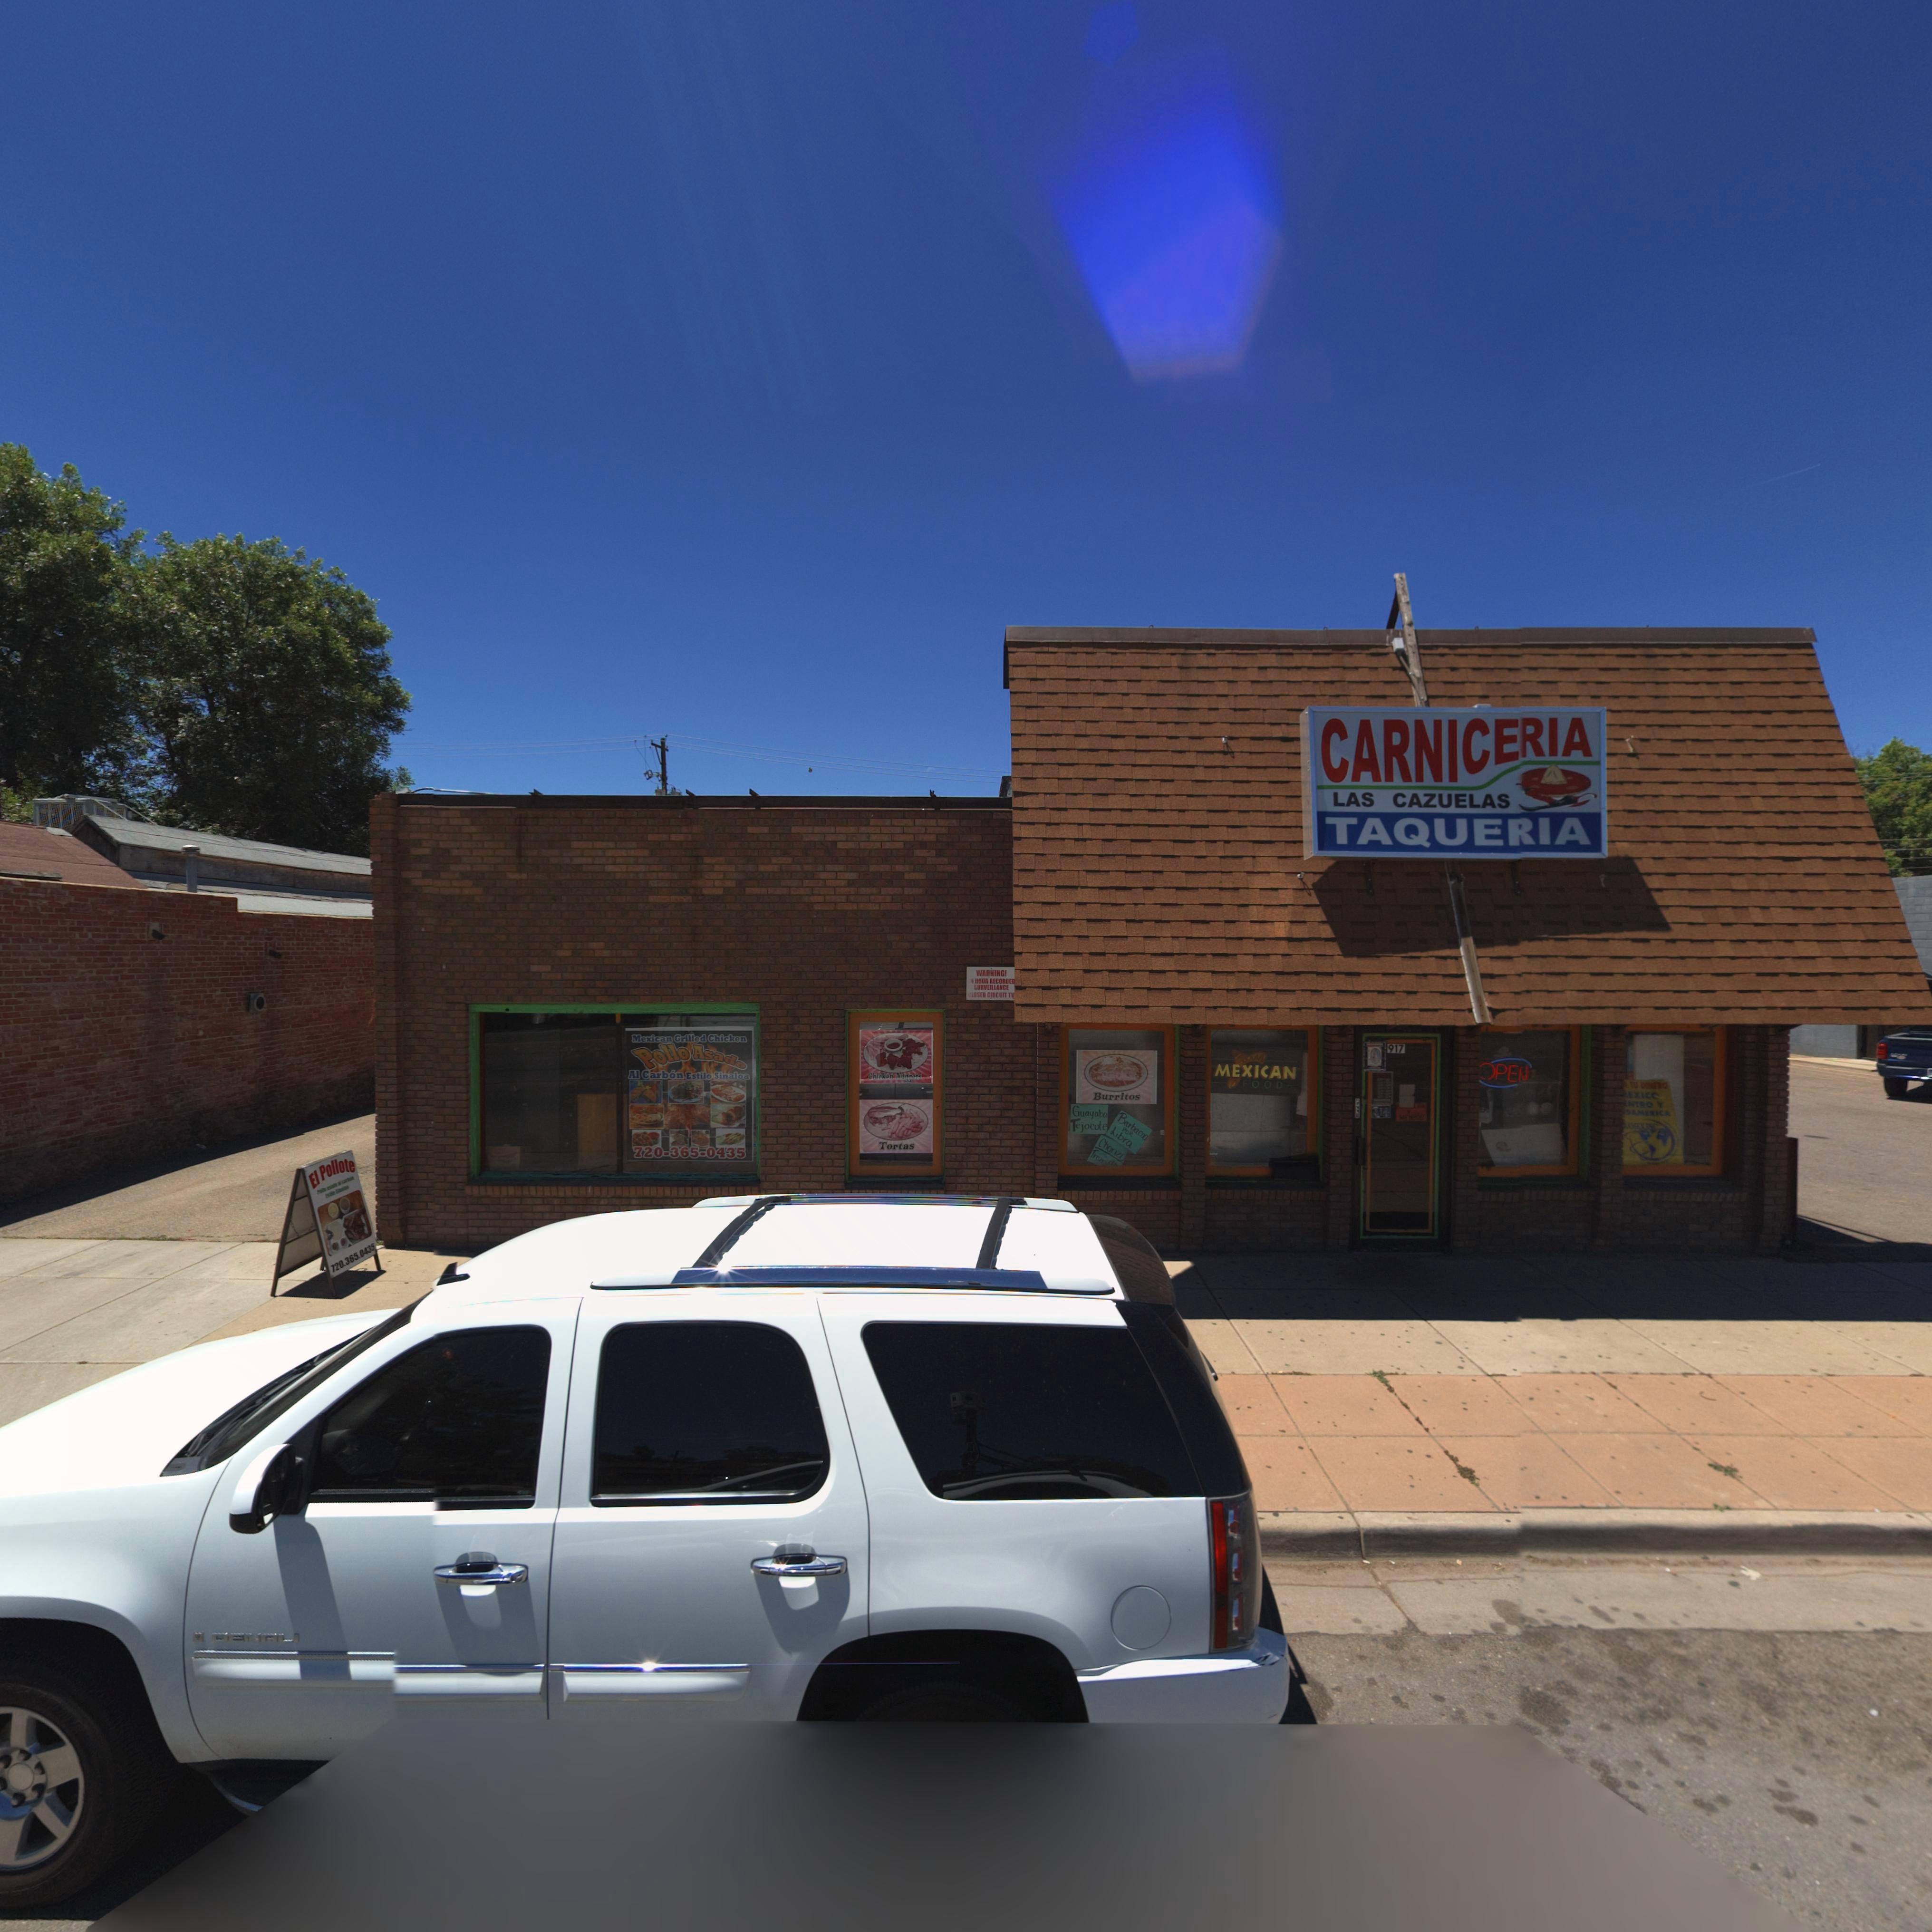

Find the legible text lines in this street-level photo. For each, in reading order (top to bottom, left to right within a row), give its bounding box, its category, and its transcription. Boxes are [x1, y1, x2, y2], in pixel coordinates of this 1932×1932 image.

[1332, 791, 1511, 810] BusinessName: LAS CAZUELAS
[1388, 1044, 1404, 1053] StreetNumber: 917
[307, 1159, 355, 1189] BusinessName: El Pollote